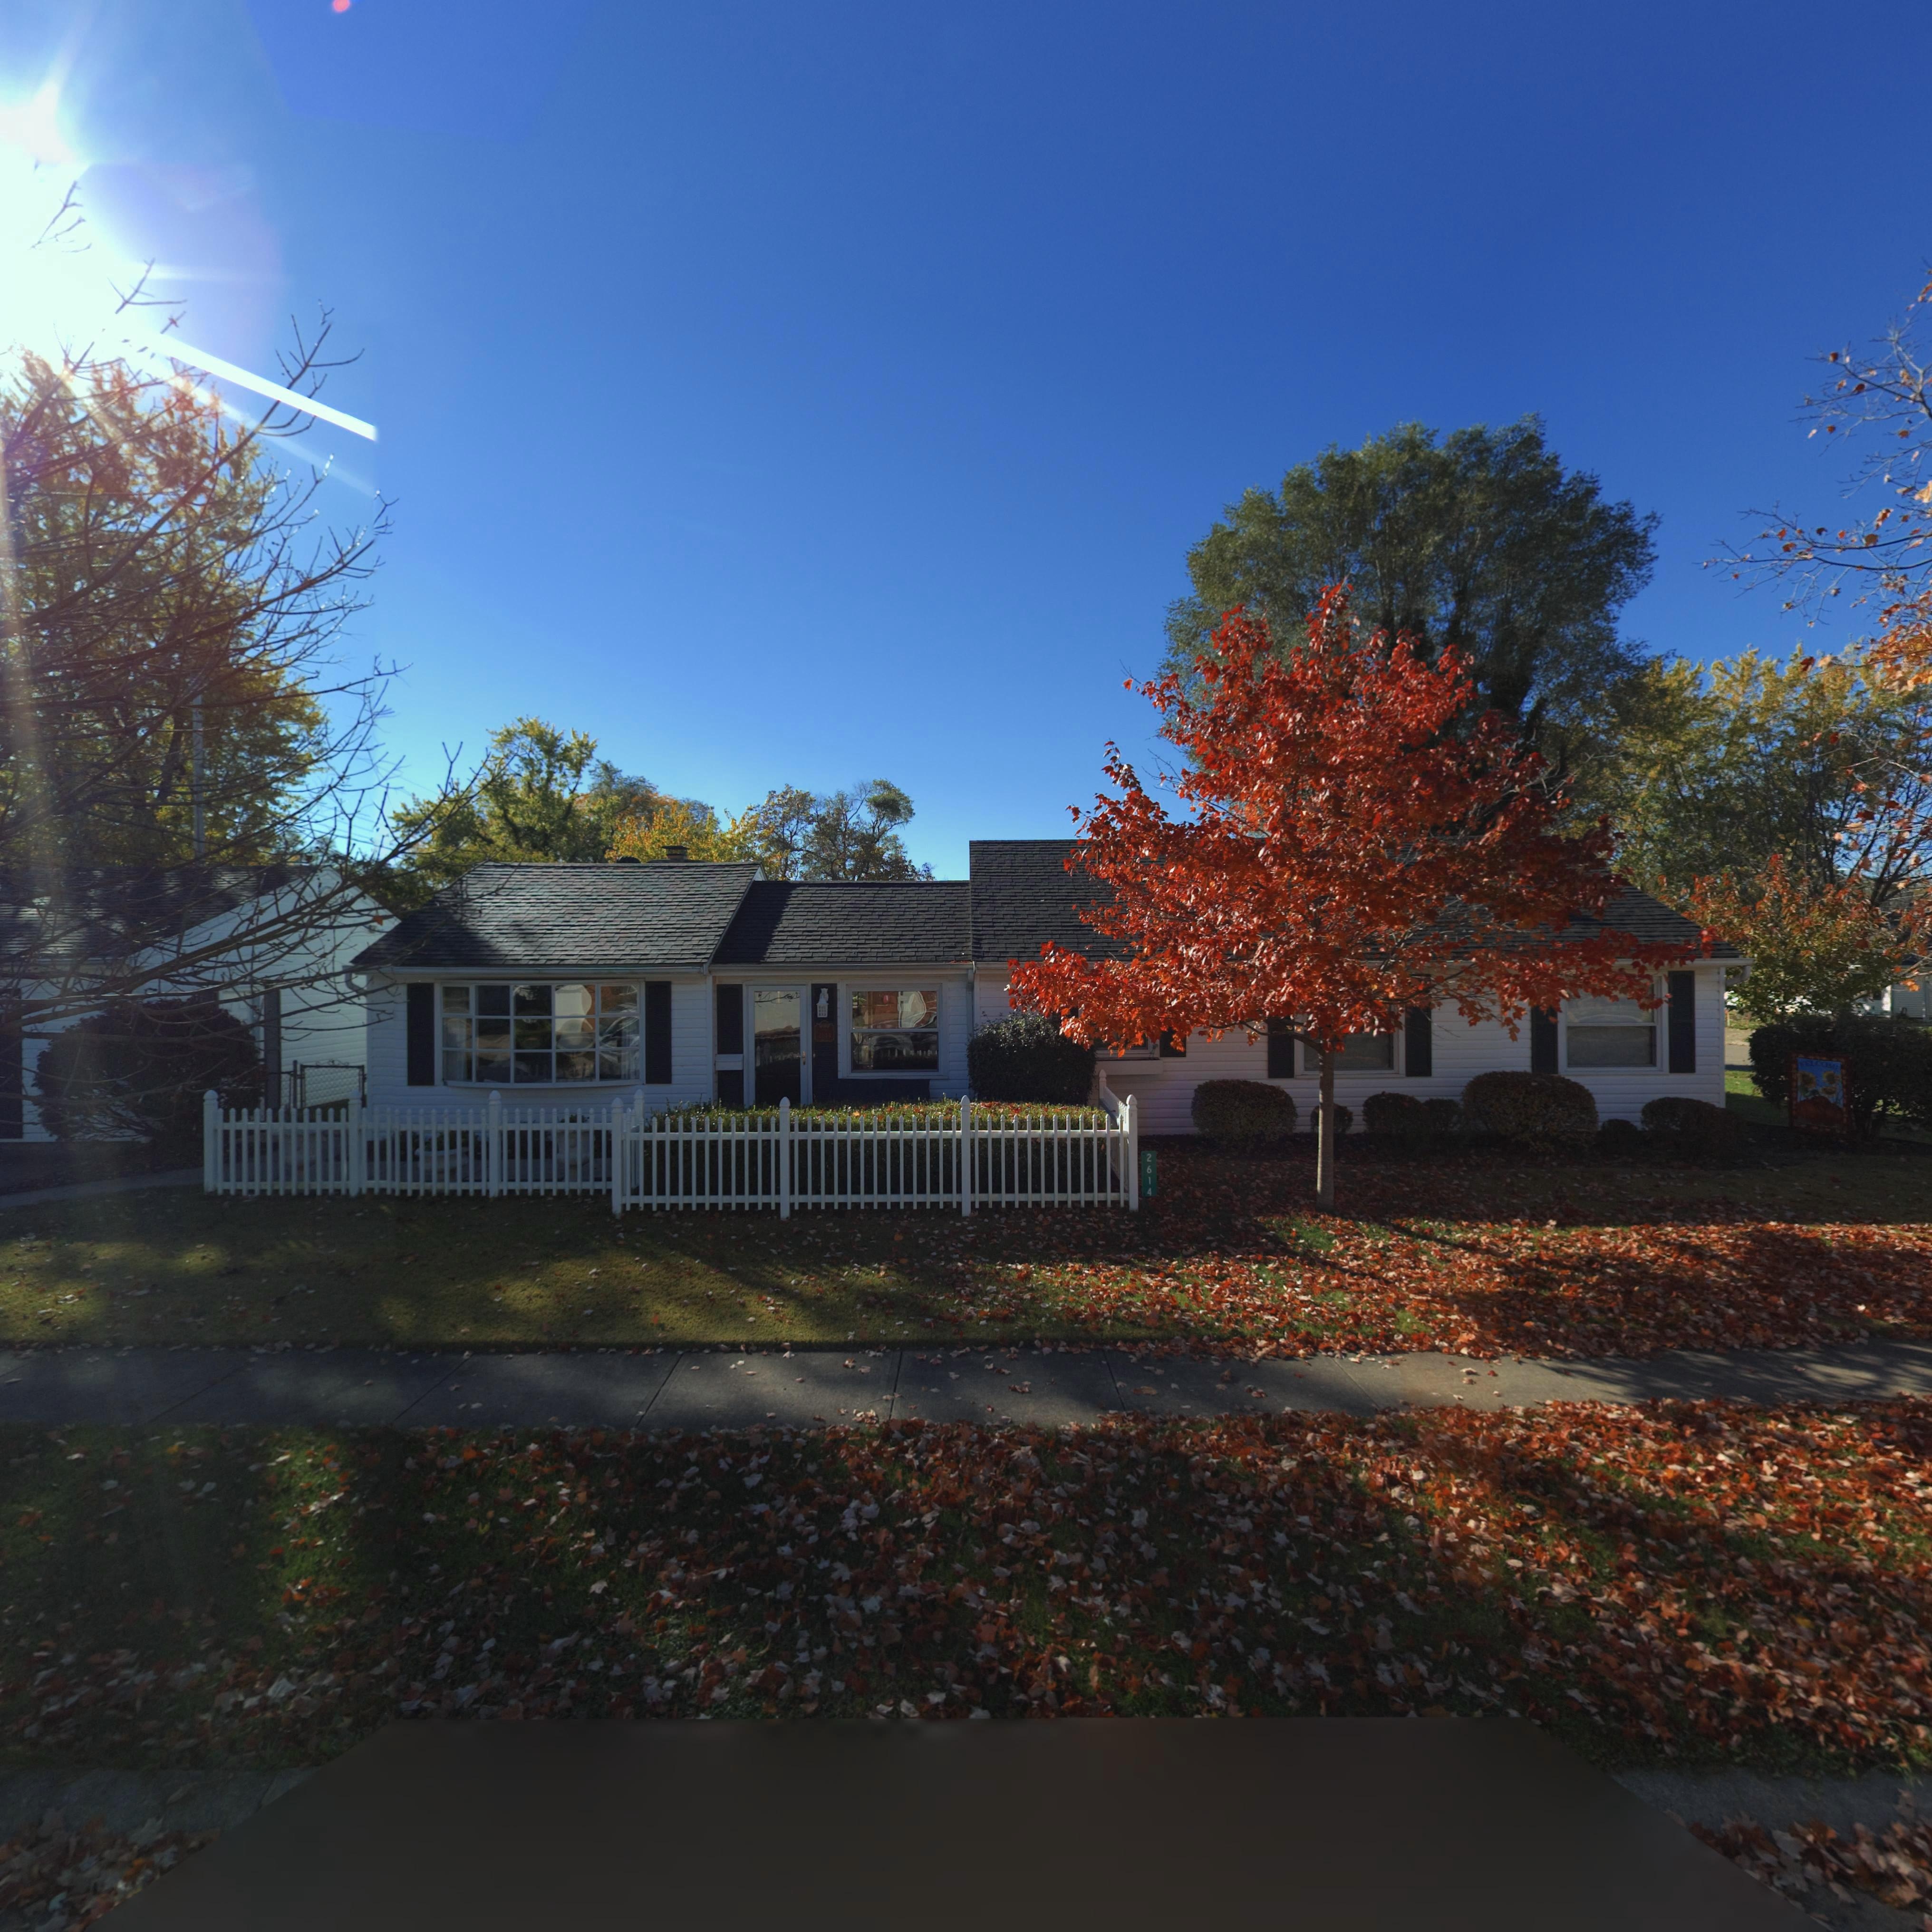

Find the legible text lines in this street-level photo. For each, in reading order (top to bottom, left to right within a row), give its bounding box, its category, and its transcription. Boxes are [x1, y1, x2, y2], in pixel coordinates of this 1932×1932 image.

[1144, 1152, 1153, 1197] StreetNumber: 2614